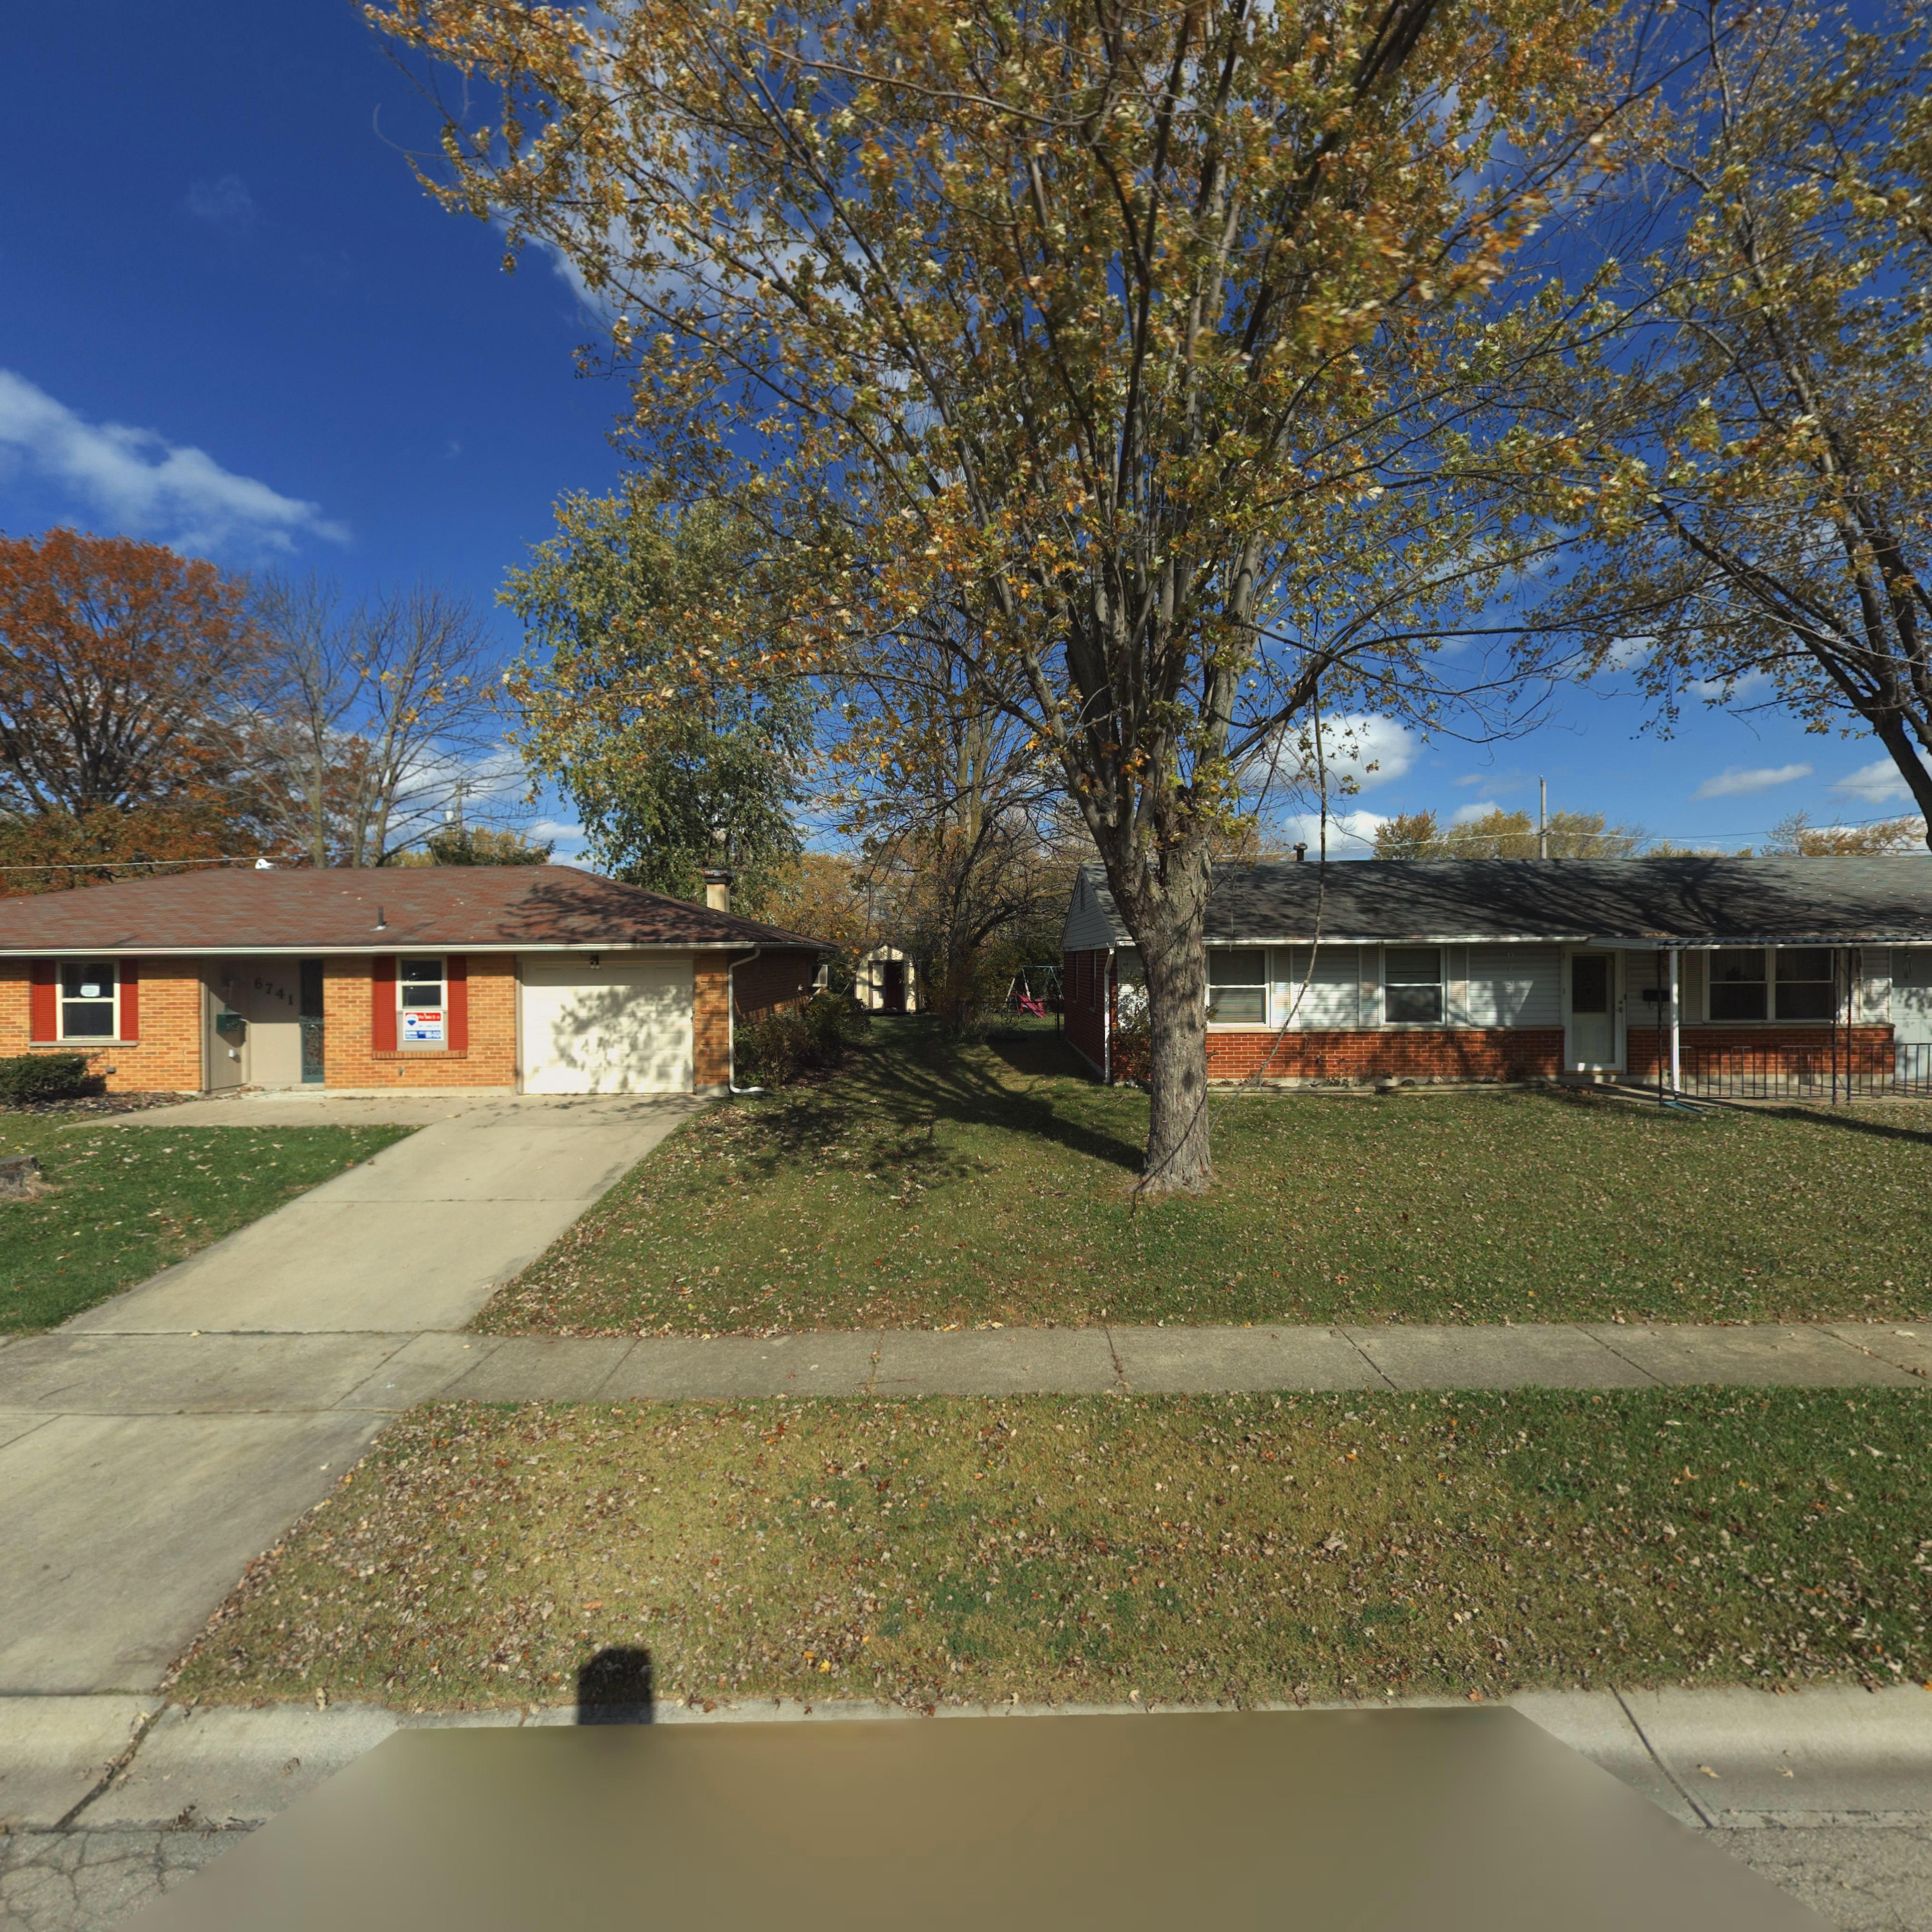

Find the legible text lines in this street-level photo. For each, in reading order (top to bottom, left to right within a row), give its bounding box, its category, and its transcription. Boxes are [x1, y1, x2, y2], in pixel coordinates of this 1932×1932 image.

[253, 976, 294, 1006] StreetNumber: 6741
[1507, 948, 1517, 1002] StreetNumber: 6751